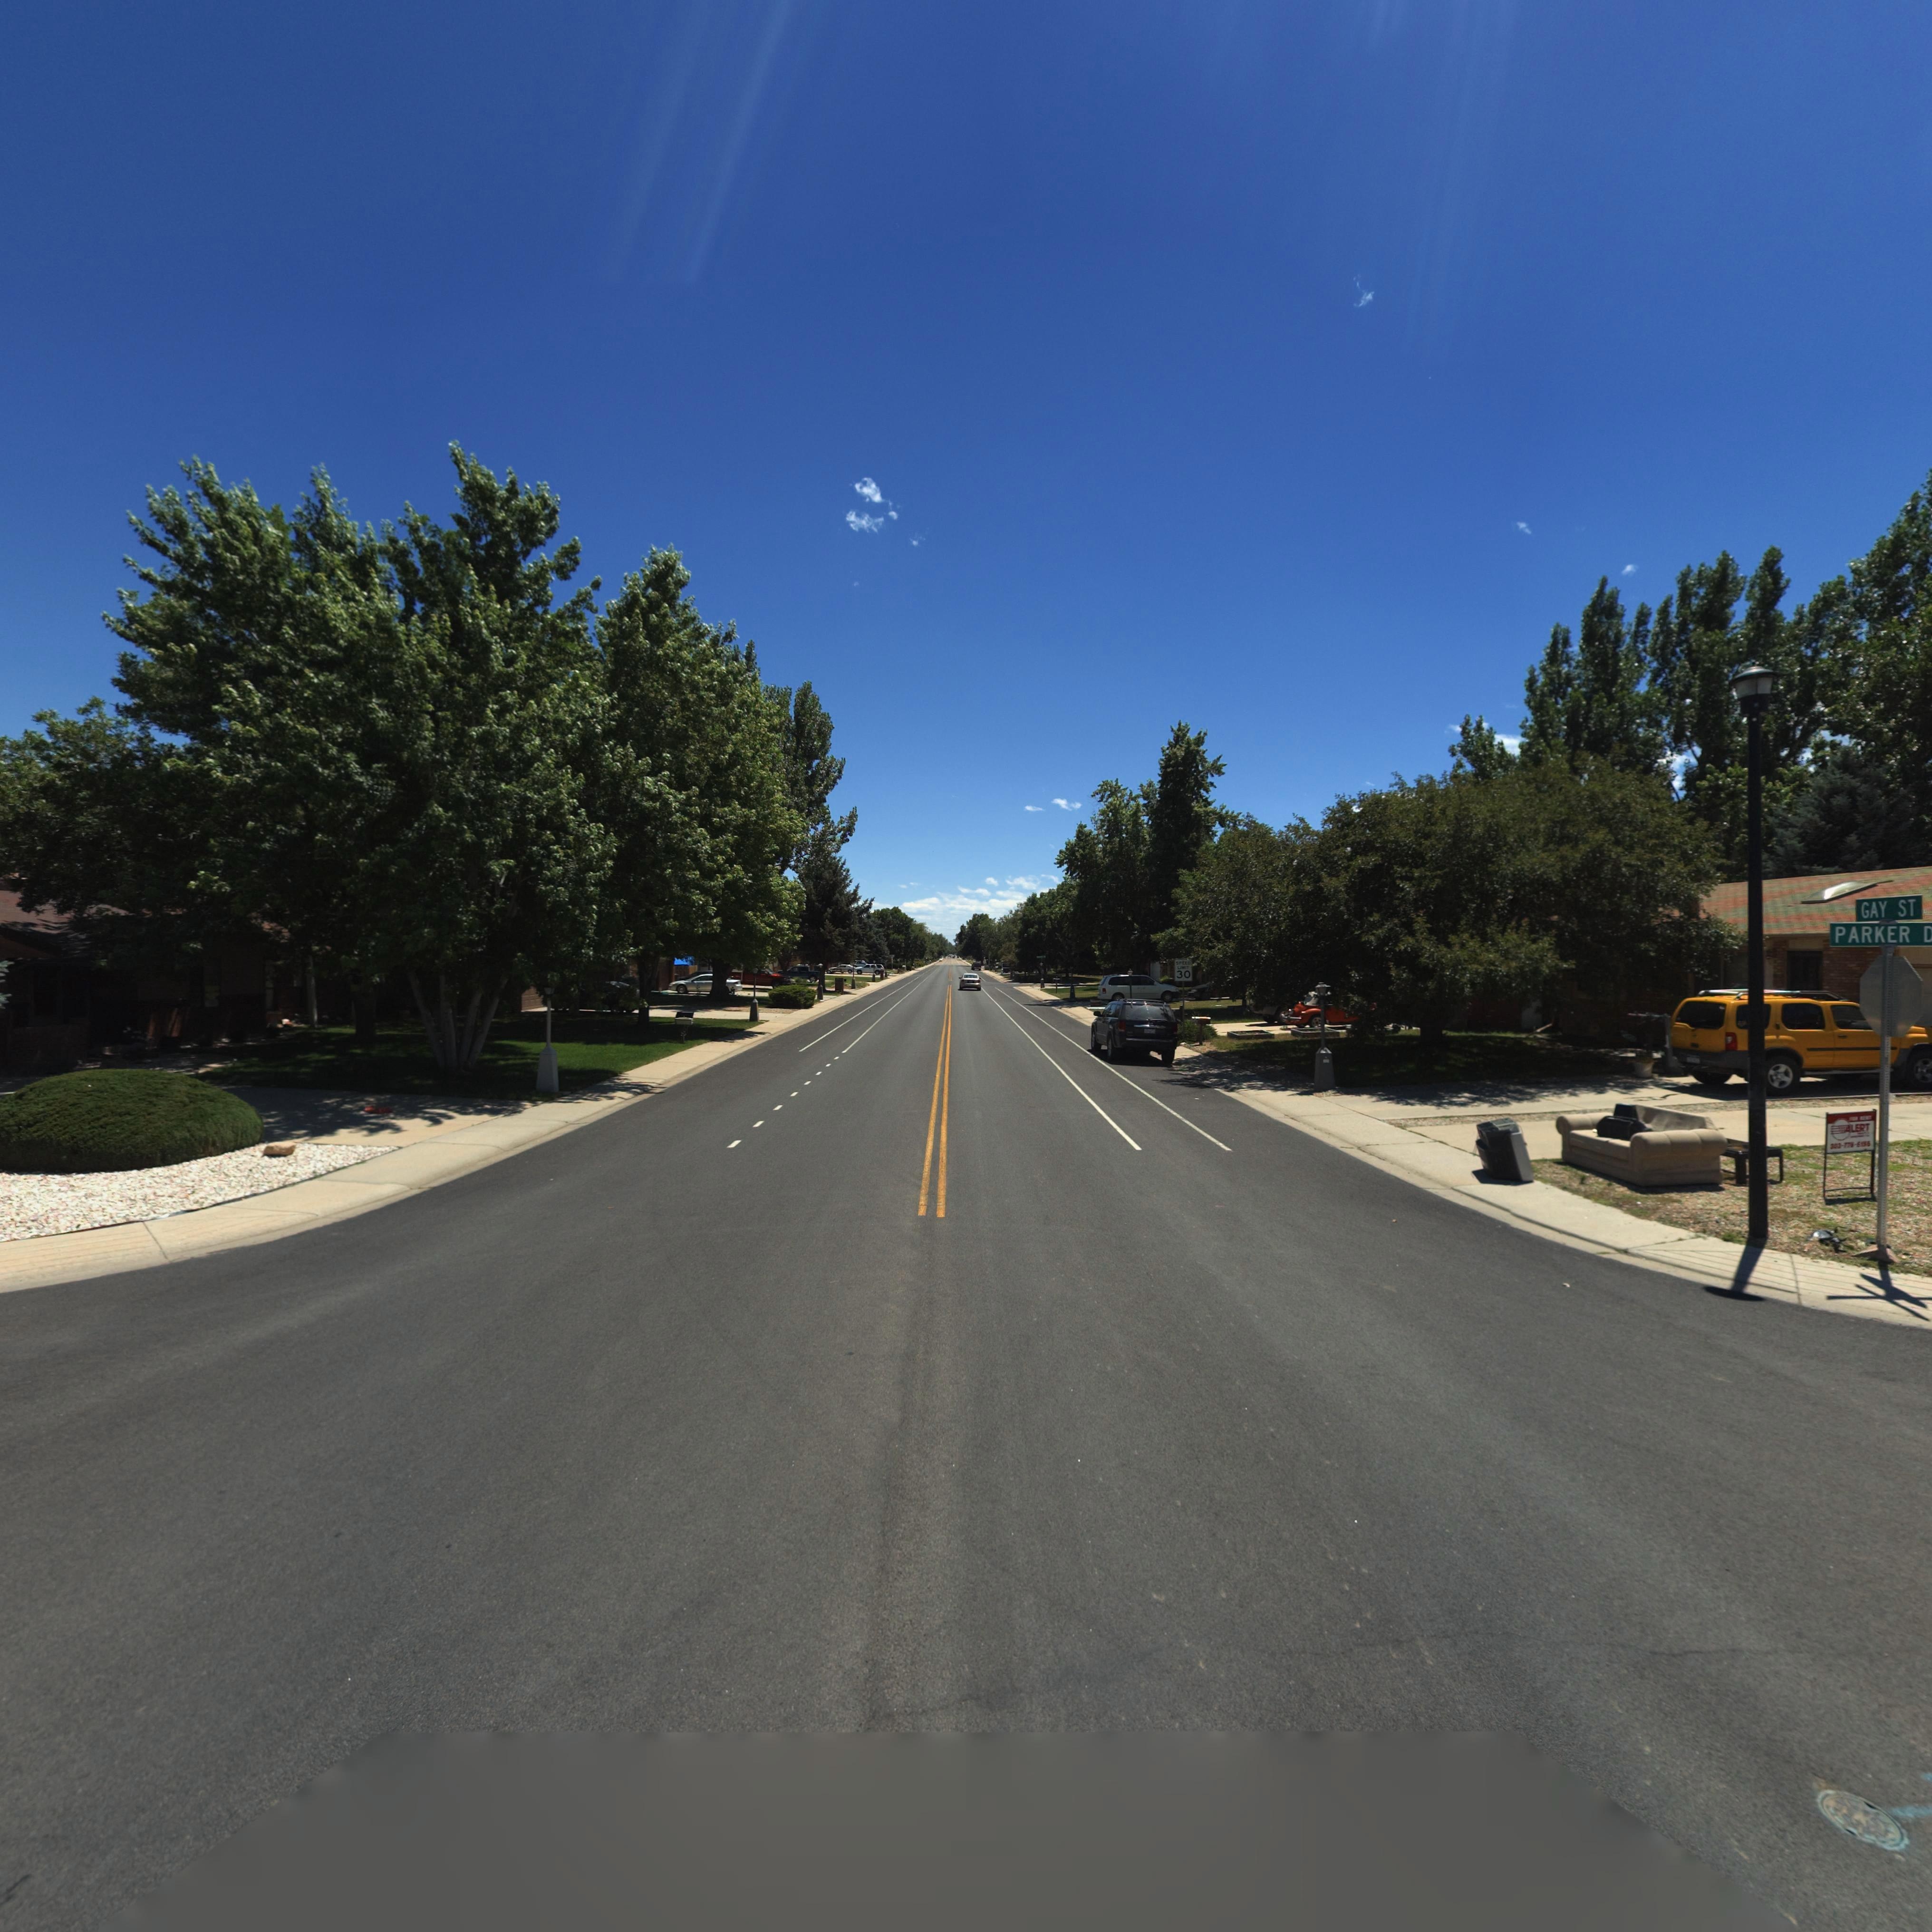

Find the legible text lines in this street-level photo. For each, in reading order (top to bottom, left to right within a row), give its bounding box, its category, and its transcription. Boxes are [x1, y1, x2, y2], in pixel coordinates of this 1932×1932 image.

[1861, 898, 1916, 918] StreetName: GAY ST
[1835, 925, 1911, 944] StreetName: PARKER